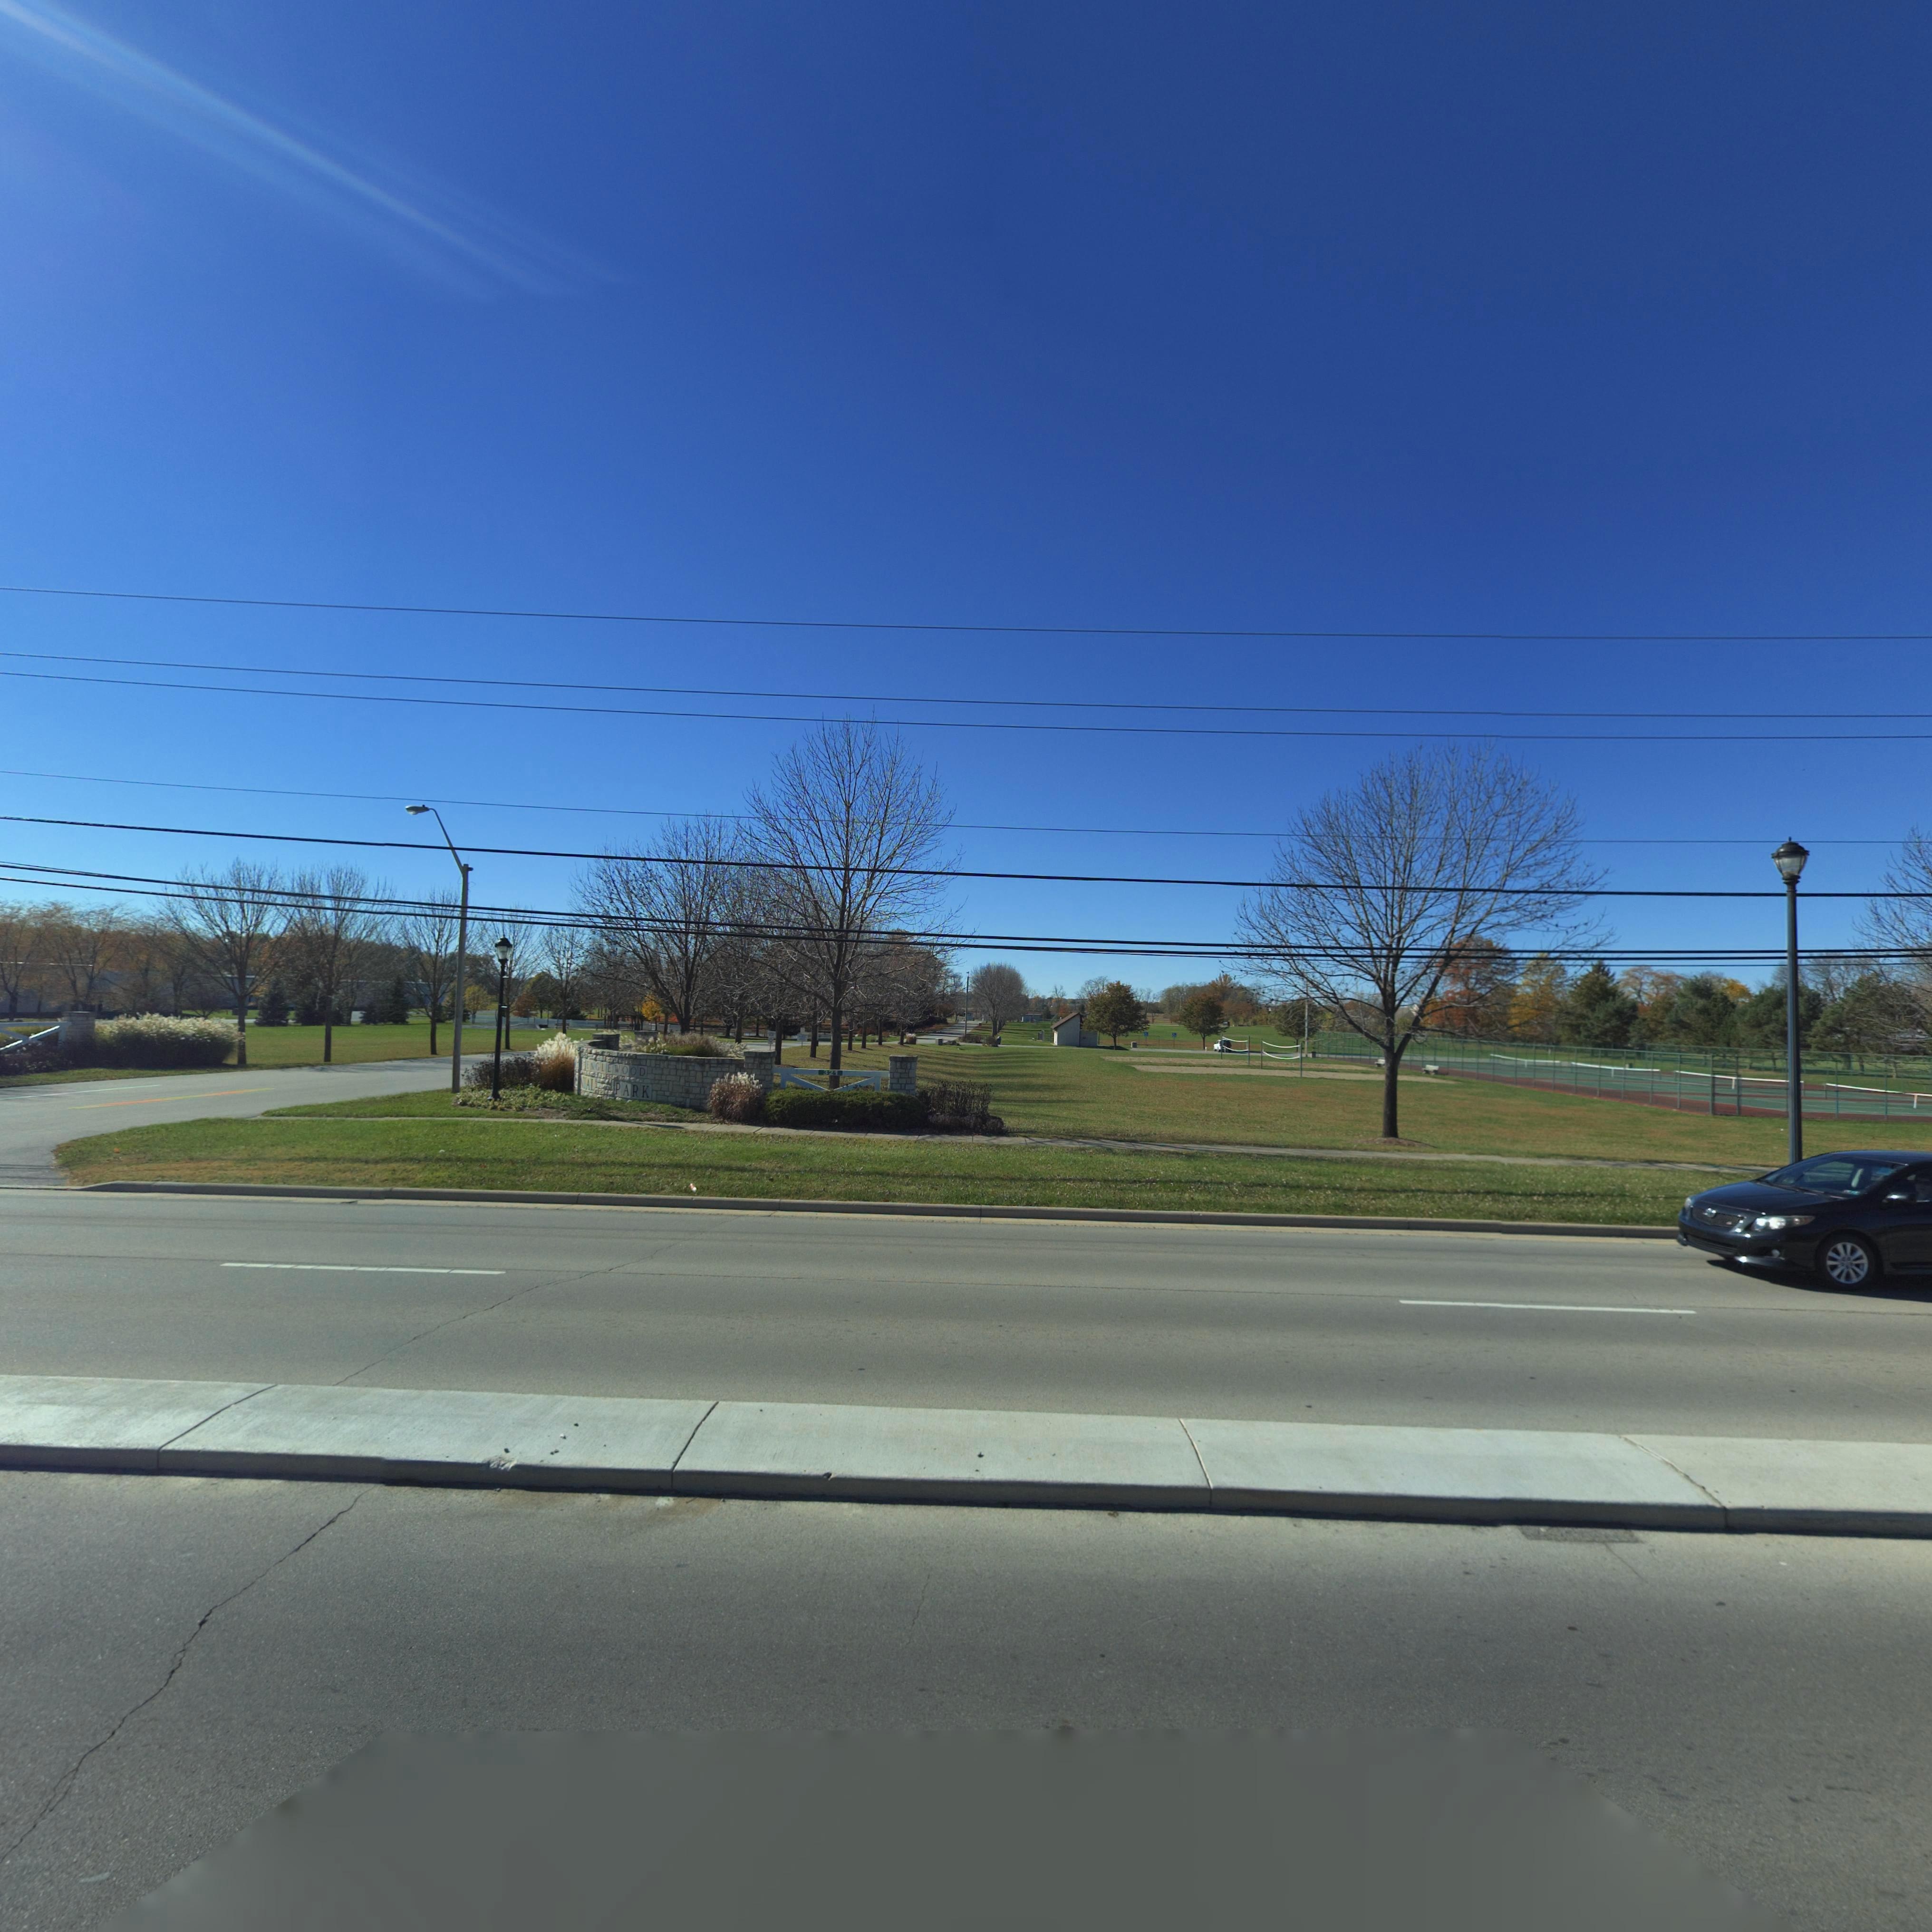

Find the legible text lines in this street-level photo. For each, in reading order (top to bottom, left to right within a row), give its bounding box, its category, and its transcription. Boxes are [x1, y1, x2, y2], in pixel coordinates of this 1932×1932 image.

[586, 1059, 647, 1078] None: ENGLEWOOD
[822, 1069, 839, 1076] StreetNumber: 321
[578, 1074, 651, 1100] None: NIAL PARK